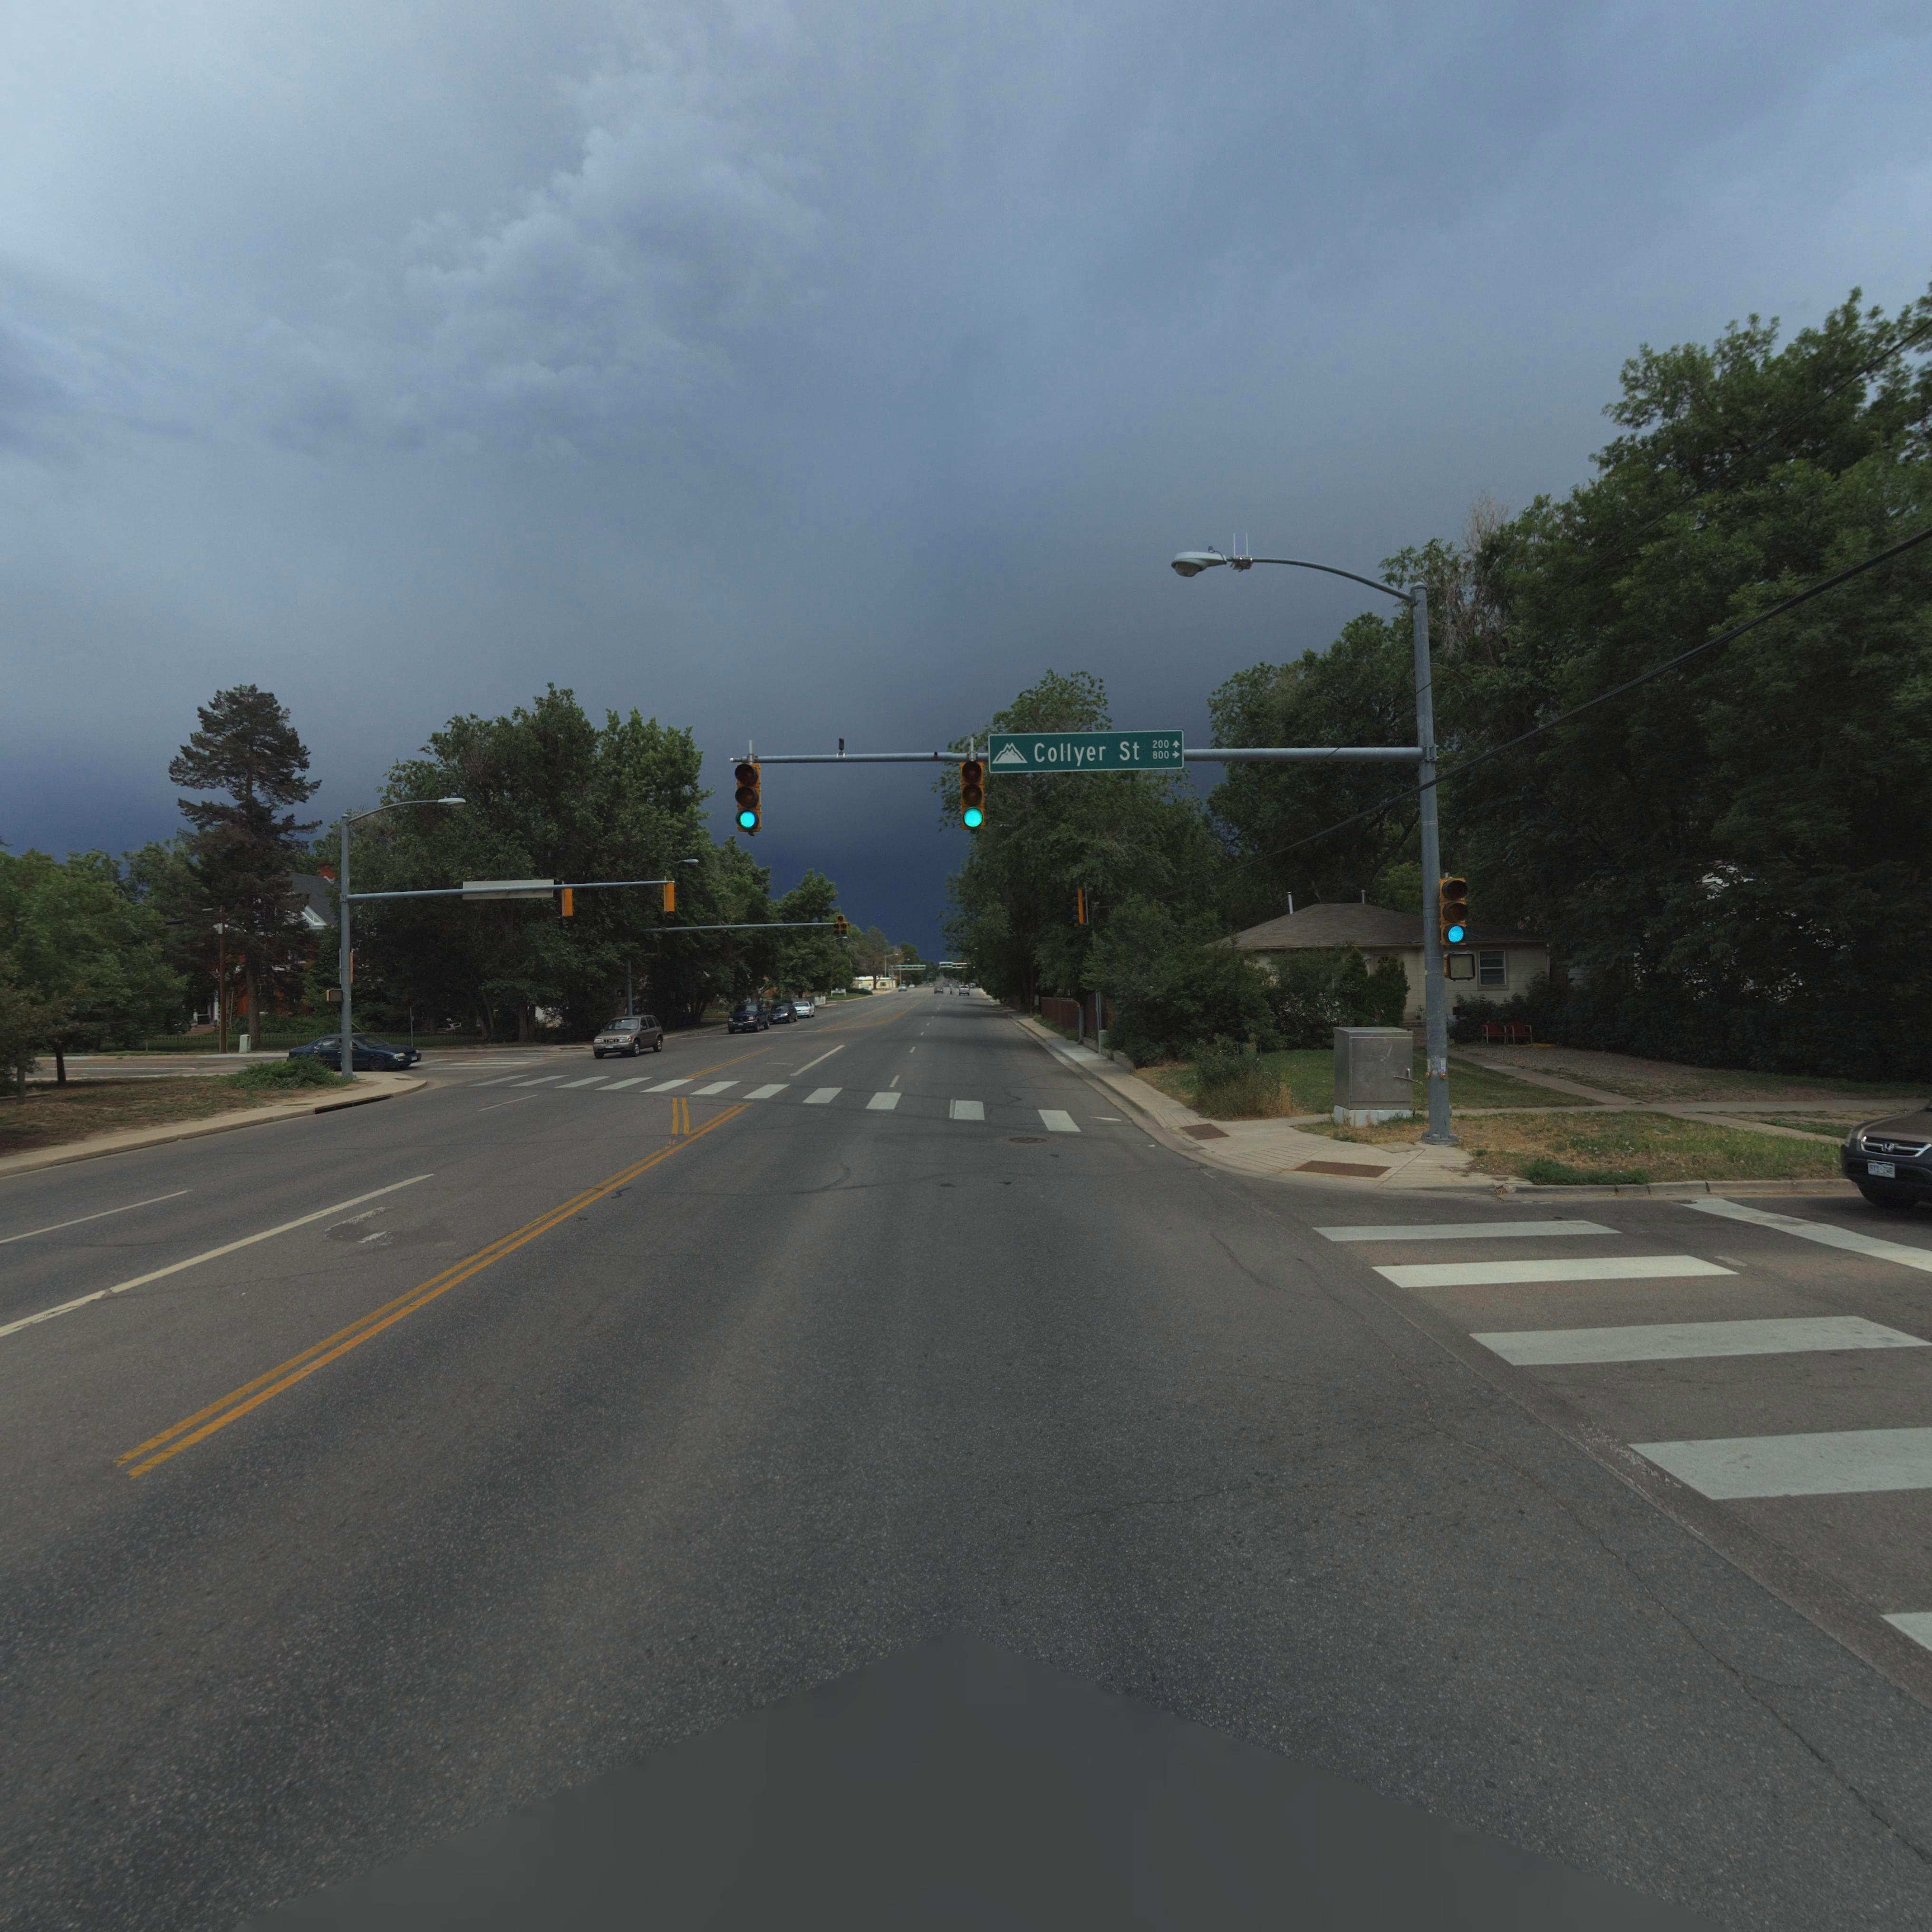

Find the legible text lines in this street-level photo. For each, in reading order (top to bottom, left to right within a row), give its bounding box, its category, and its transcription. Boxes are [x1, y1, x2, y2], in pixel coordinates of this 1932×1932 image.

[1152, 739, 1169, 748] StreetNumberRange: 200
[1034, 740, 1140, 767] StreetName: Collyer St
[1152, 750, 1180, 760] StreetNumberRange: 800->